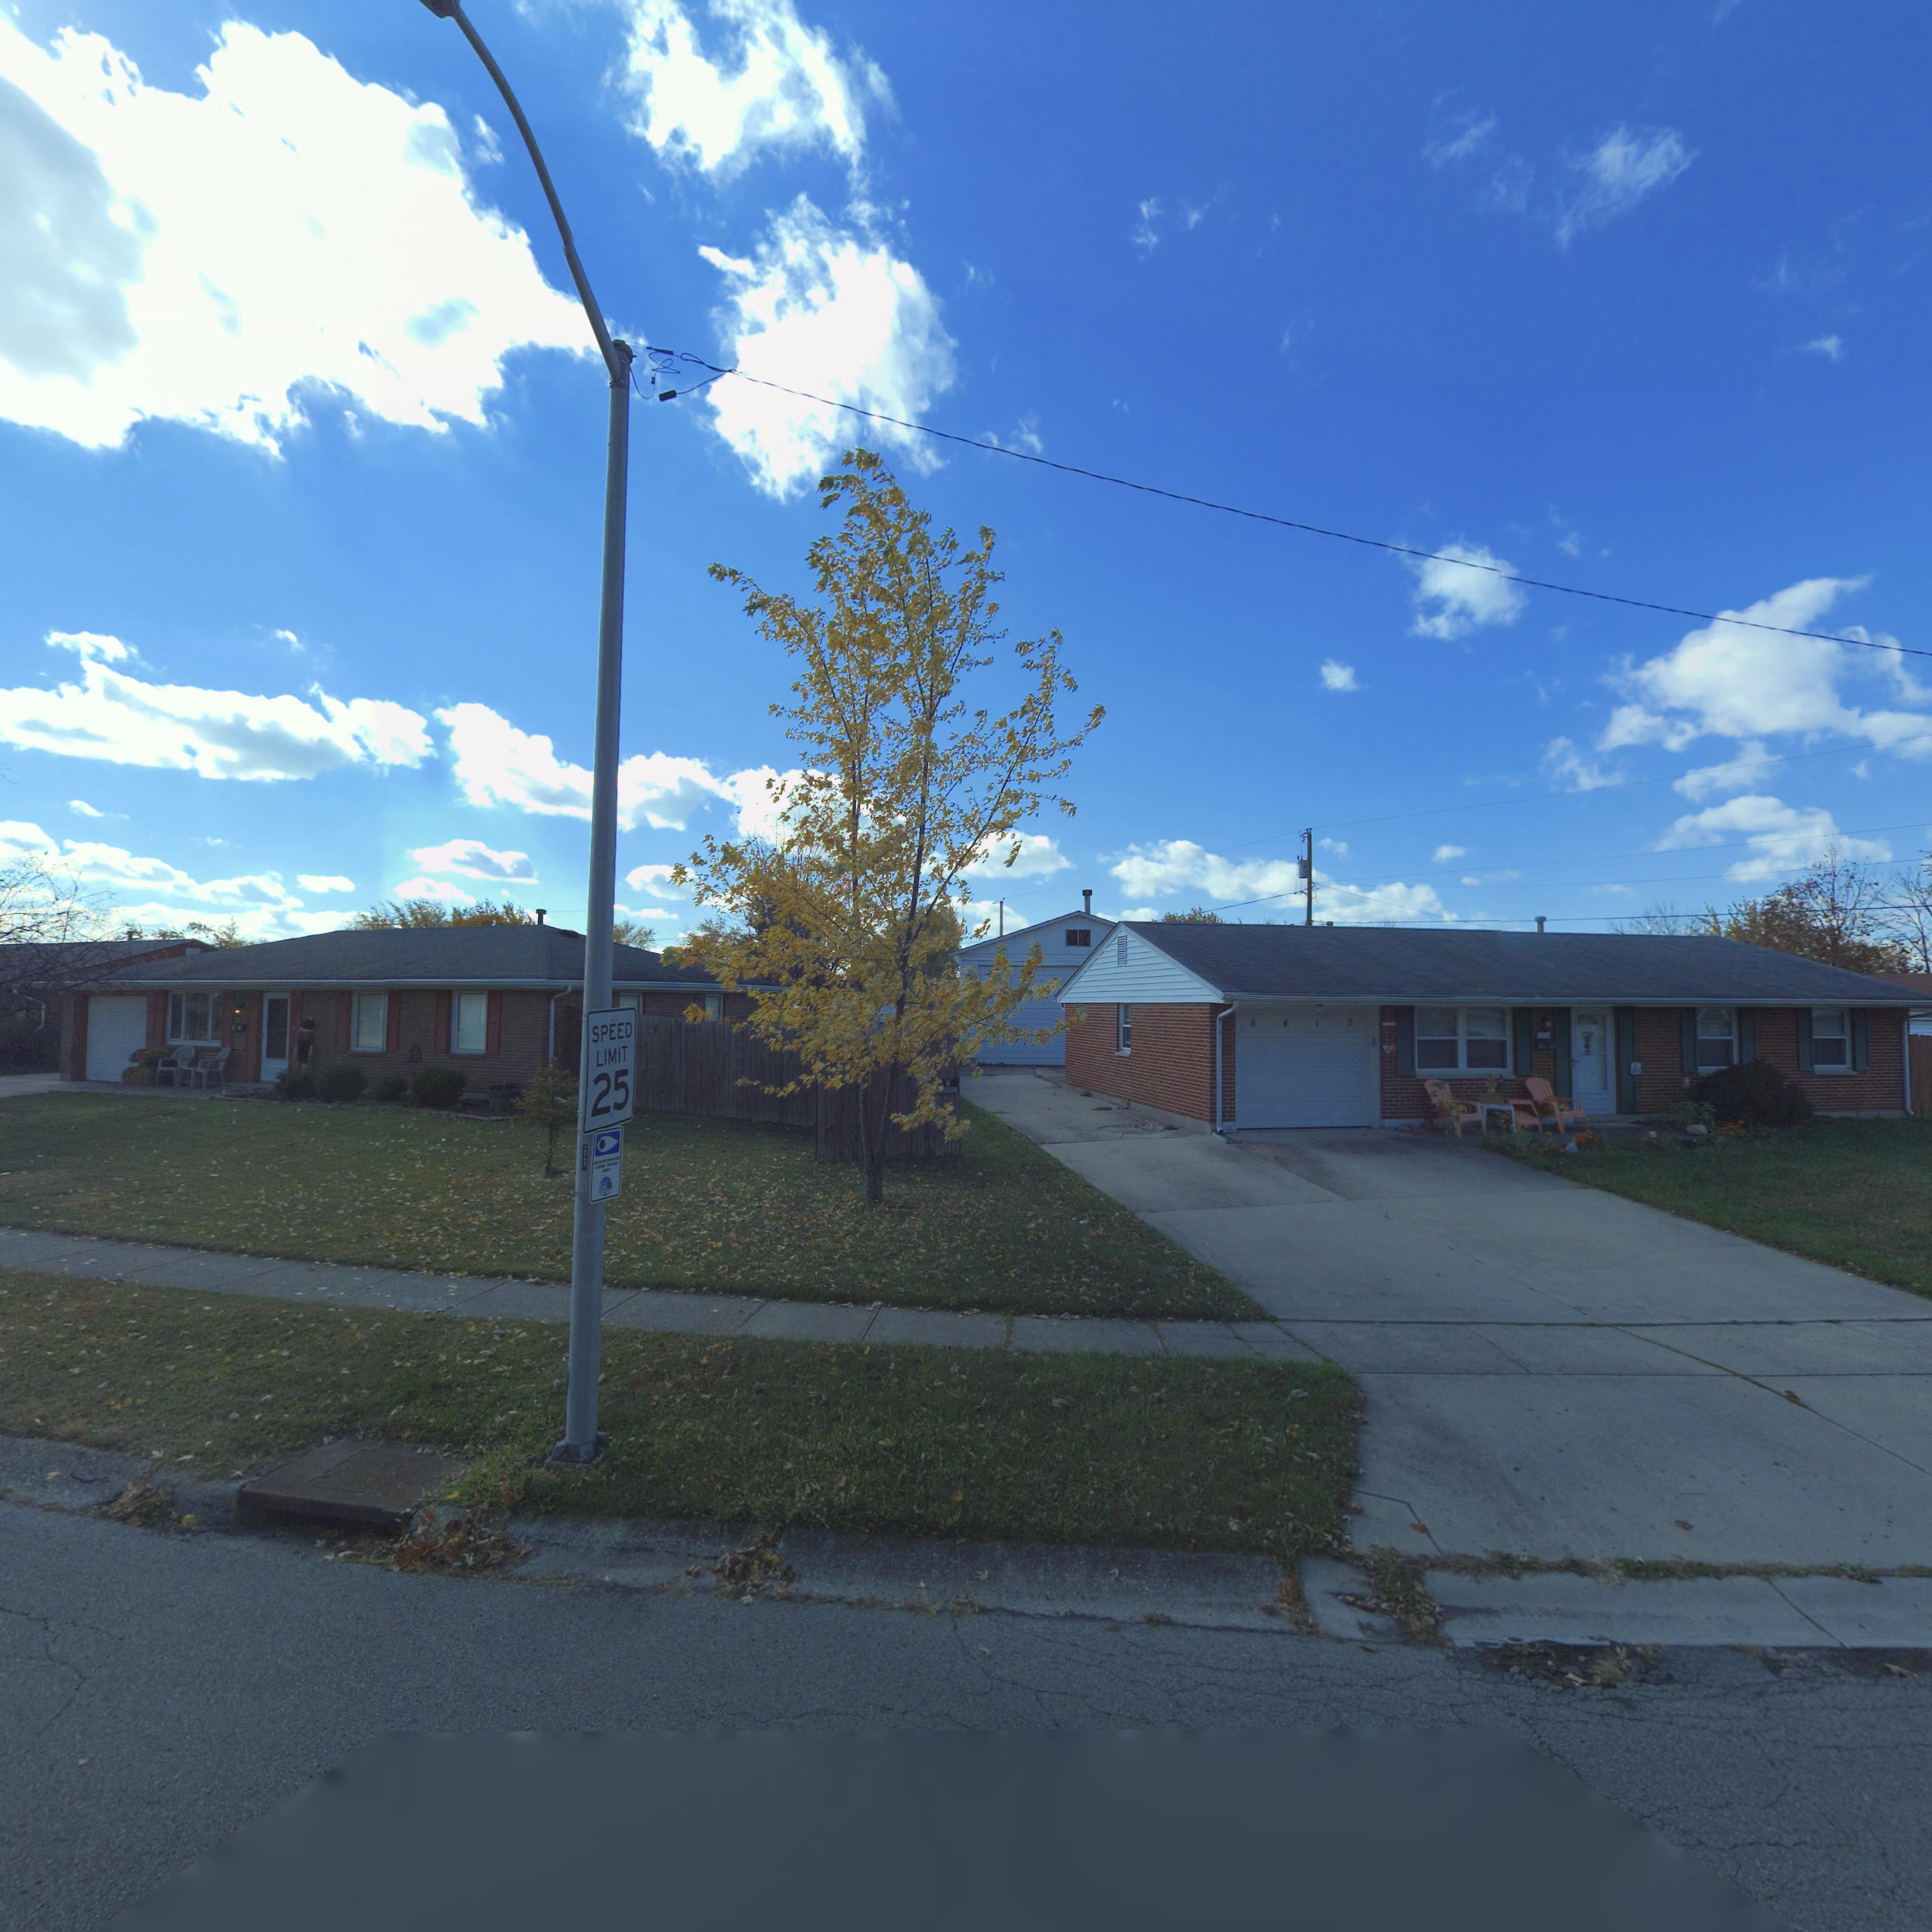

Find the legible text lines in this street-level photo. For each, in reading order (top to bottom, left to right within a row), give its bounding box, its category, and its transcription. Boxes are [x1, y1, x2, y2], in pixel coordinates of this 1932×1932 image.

[1250, 1017, 1354, 1028] StreetNumber: 6410
[1537, 1032, 1544, 1039] StreetNumber: 64